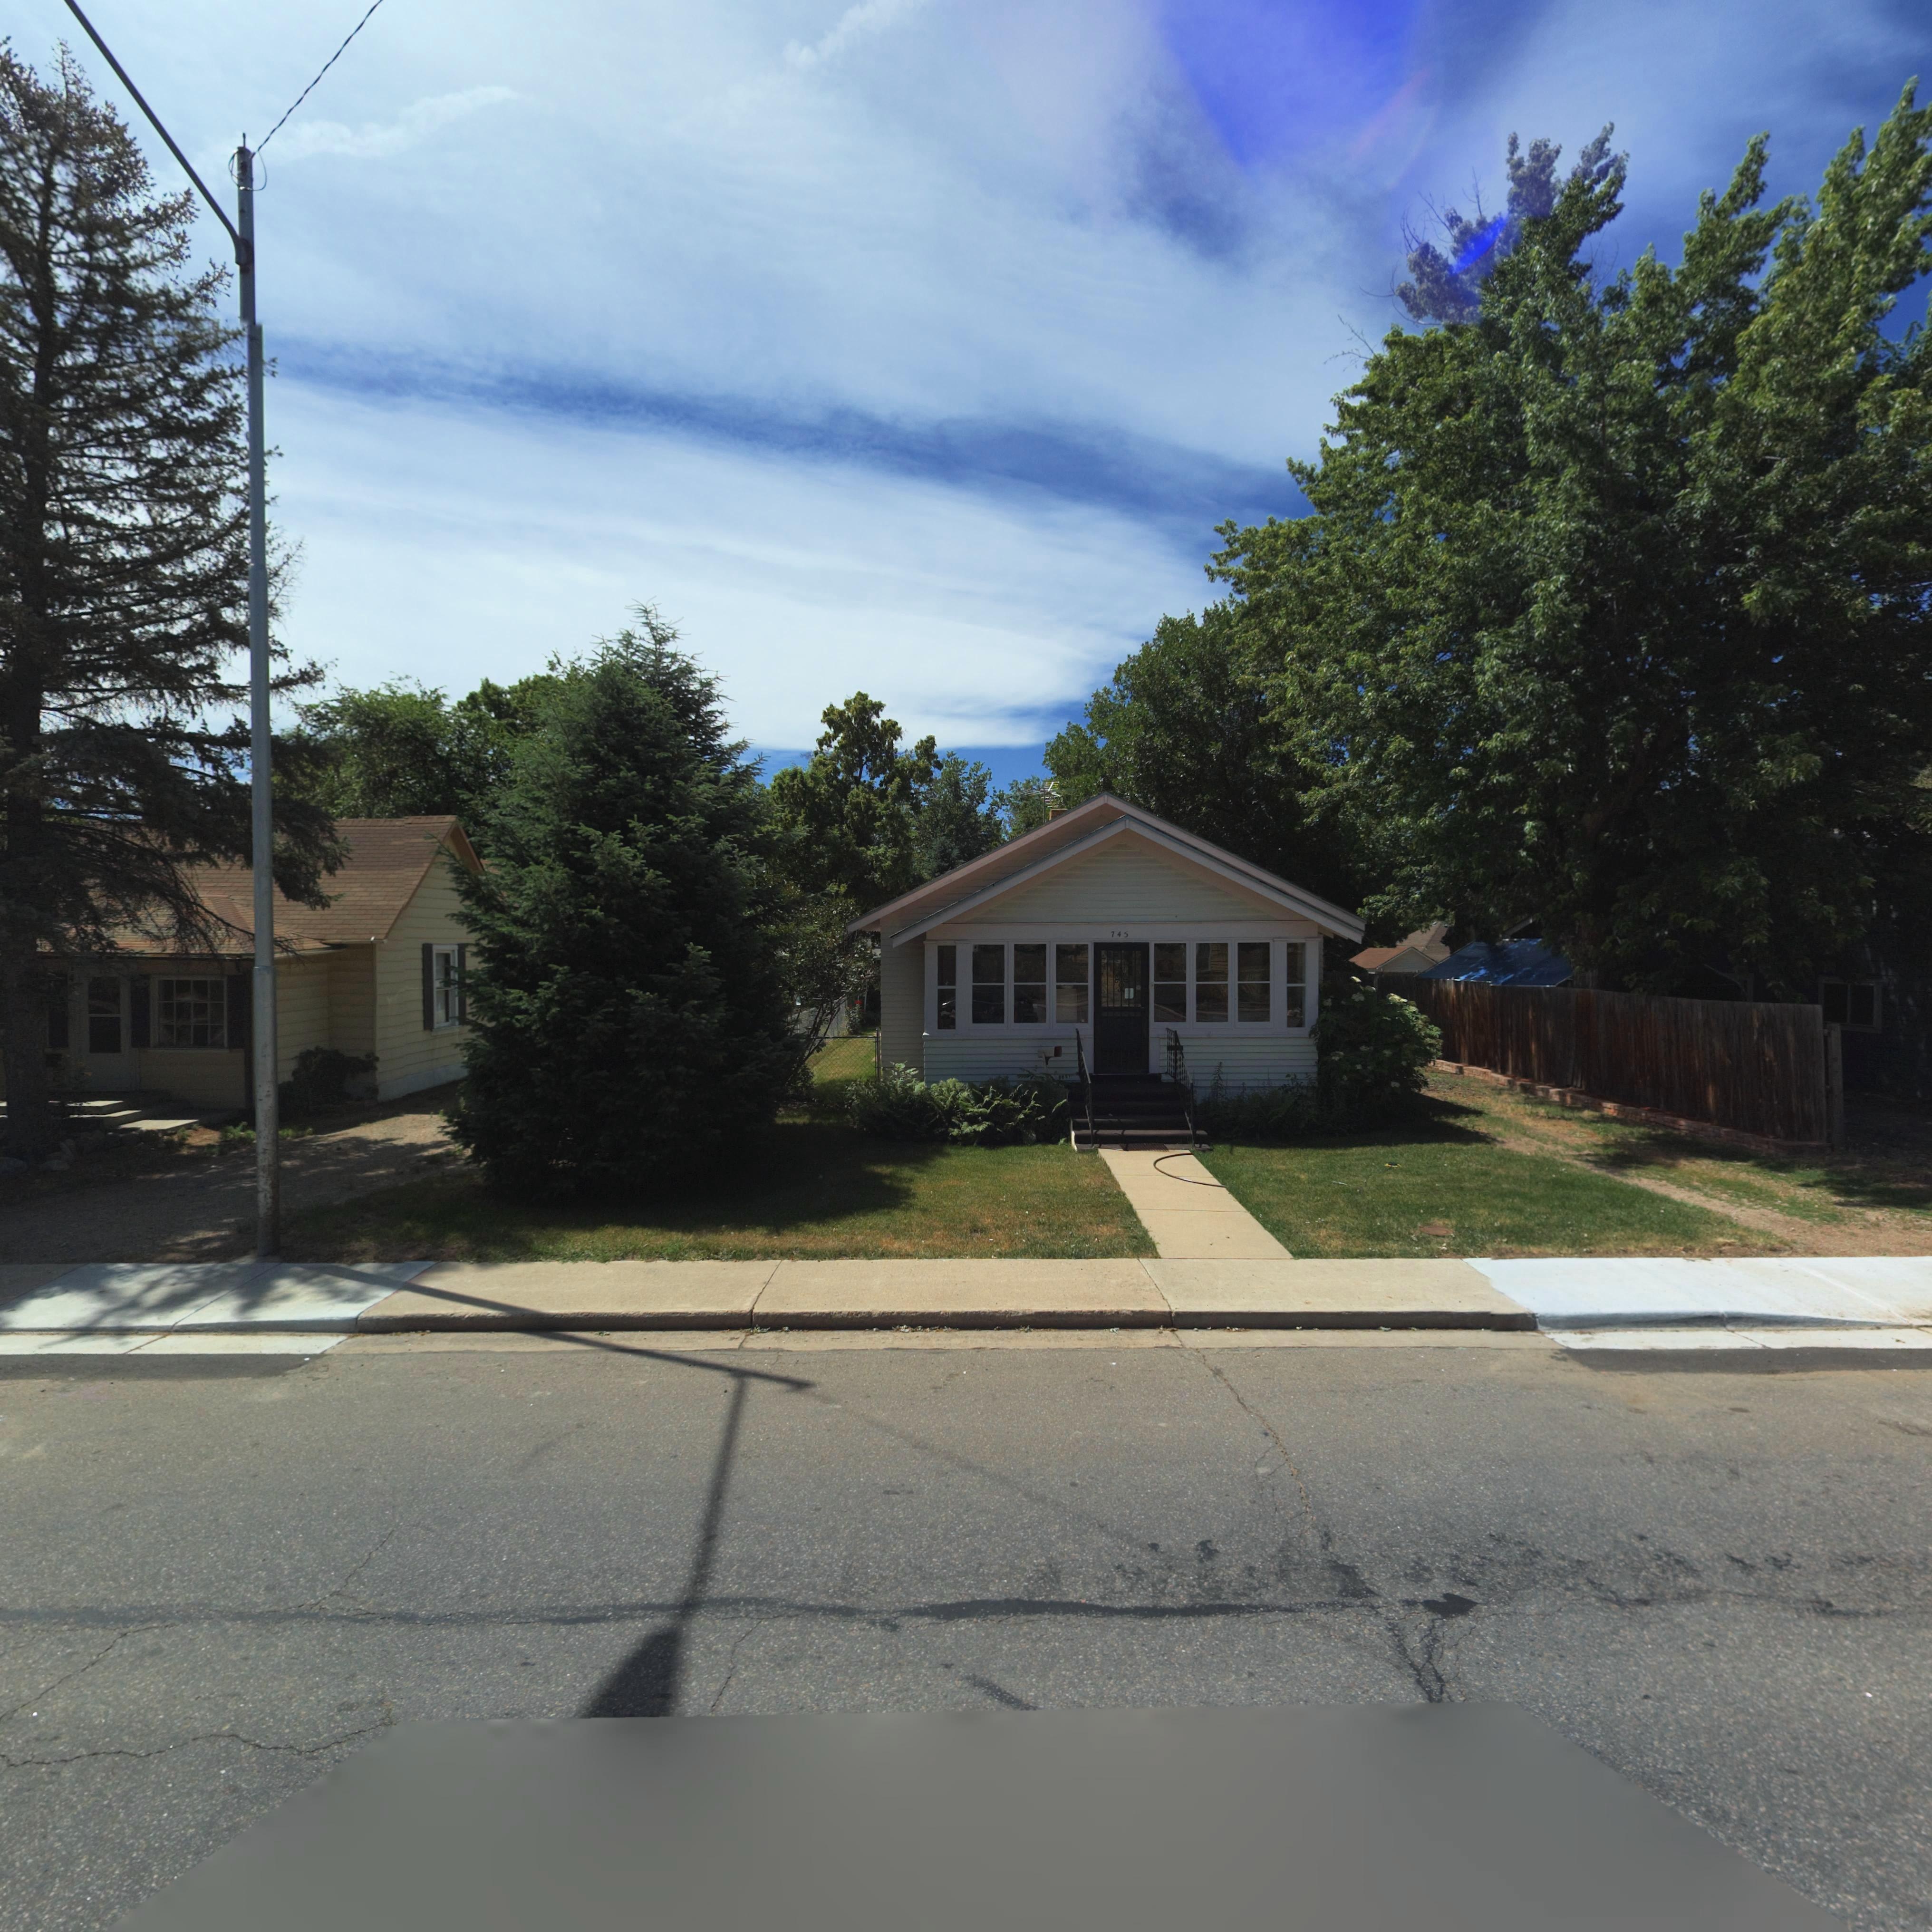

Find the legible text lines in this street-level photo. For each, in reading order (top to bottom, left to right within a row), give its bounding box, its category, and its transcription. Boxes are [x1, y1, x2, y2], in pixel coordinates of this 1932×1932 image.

[1111, 931, 1128, 938] StreetNumber: 745
[67, 962, 76, 983] StreetNumber: *4